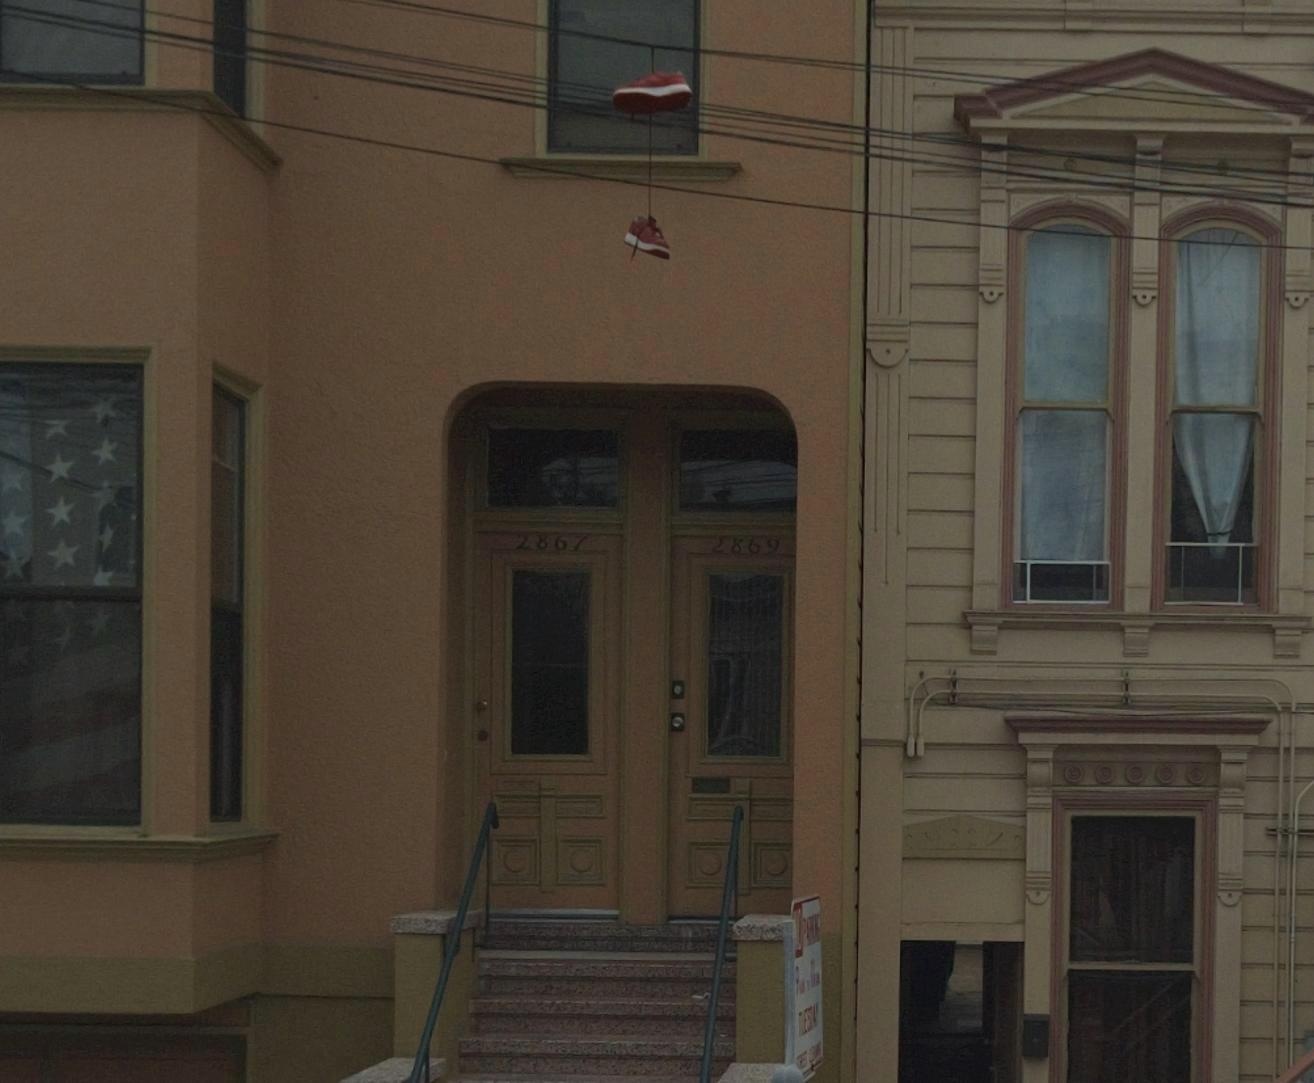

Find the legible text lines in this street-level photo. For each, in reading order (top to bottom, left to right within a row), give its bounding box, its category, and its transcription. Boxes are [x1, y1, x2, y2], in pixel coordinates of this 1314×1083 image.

[515, 532, 590, 553] StreetNumber: 2867
[709, 535, 780, 556] StreetNumber: 2869